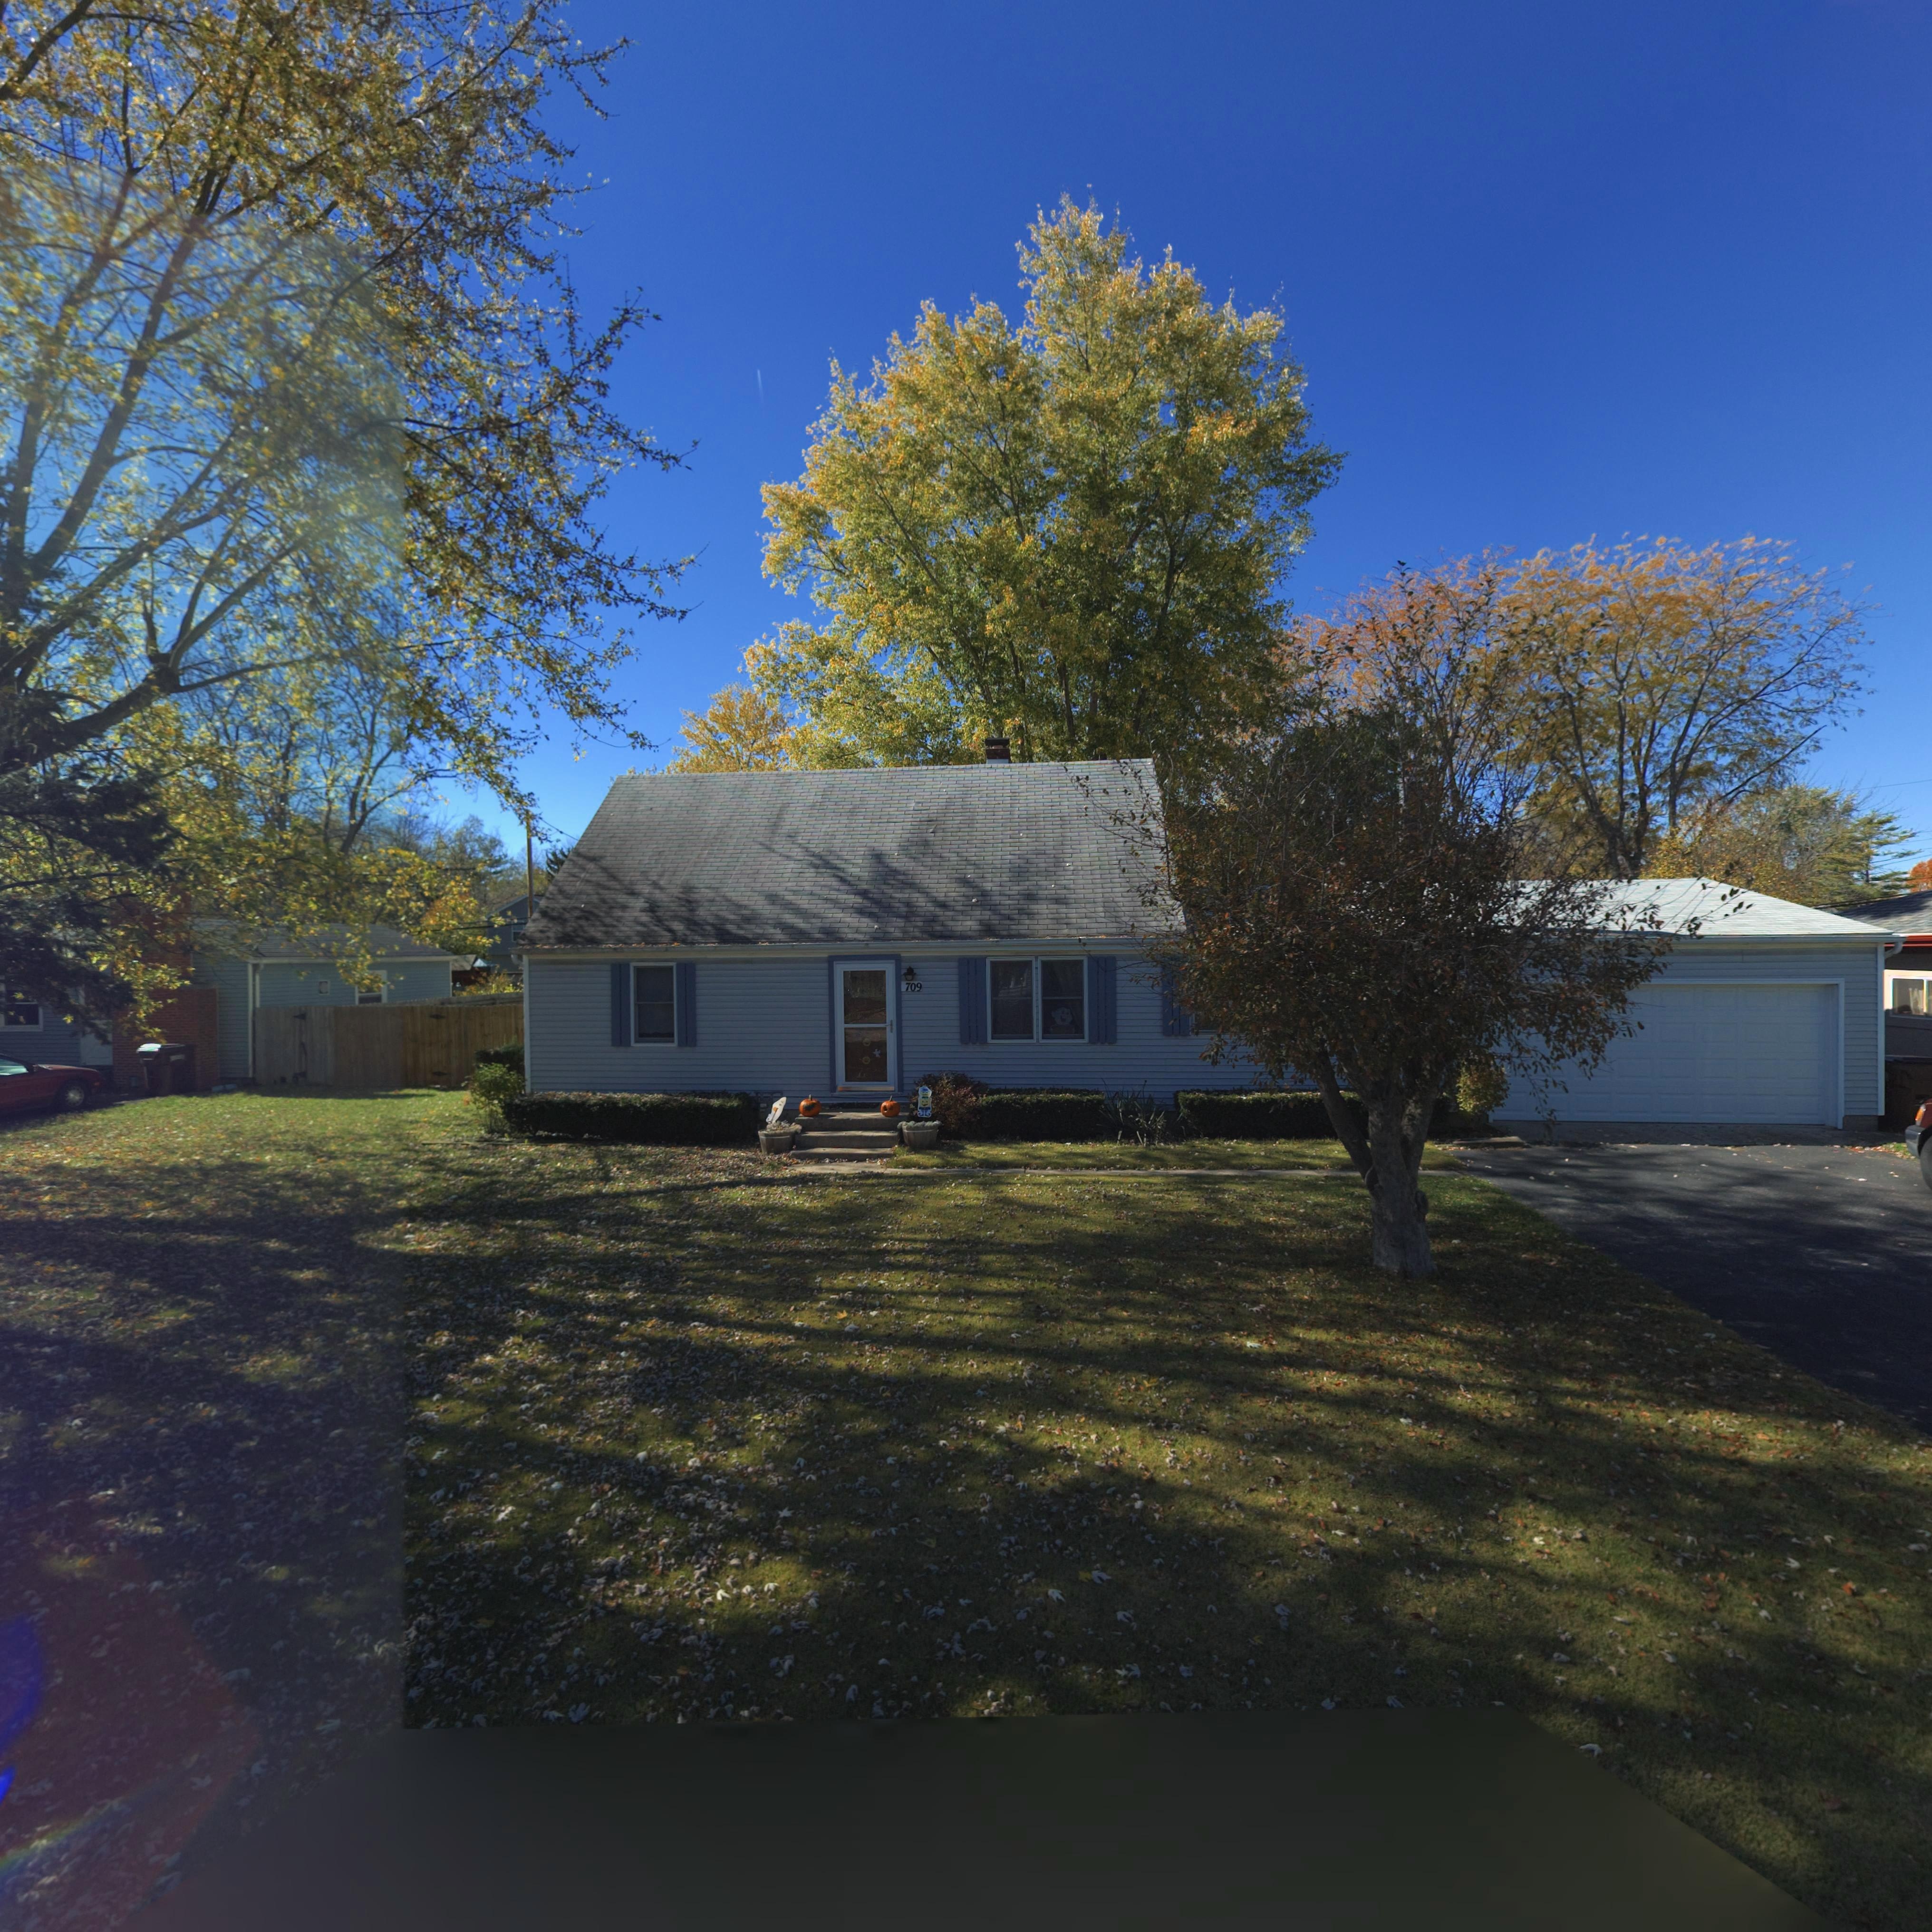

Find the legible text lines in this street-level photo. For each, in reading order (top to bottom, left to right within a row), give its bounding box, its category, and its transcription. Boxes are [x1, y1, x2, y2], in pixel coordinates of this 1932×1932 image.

[905, 982, 922, 992] StreetNumber: 709